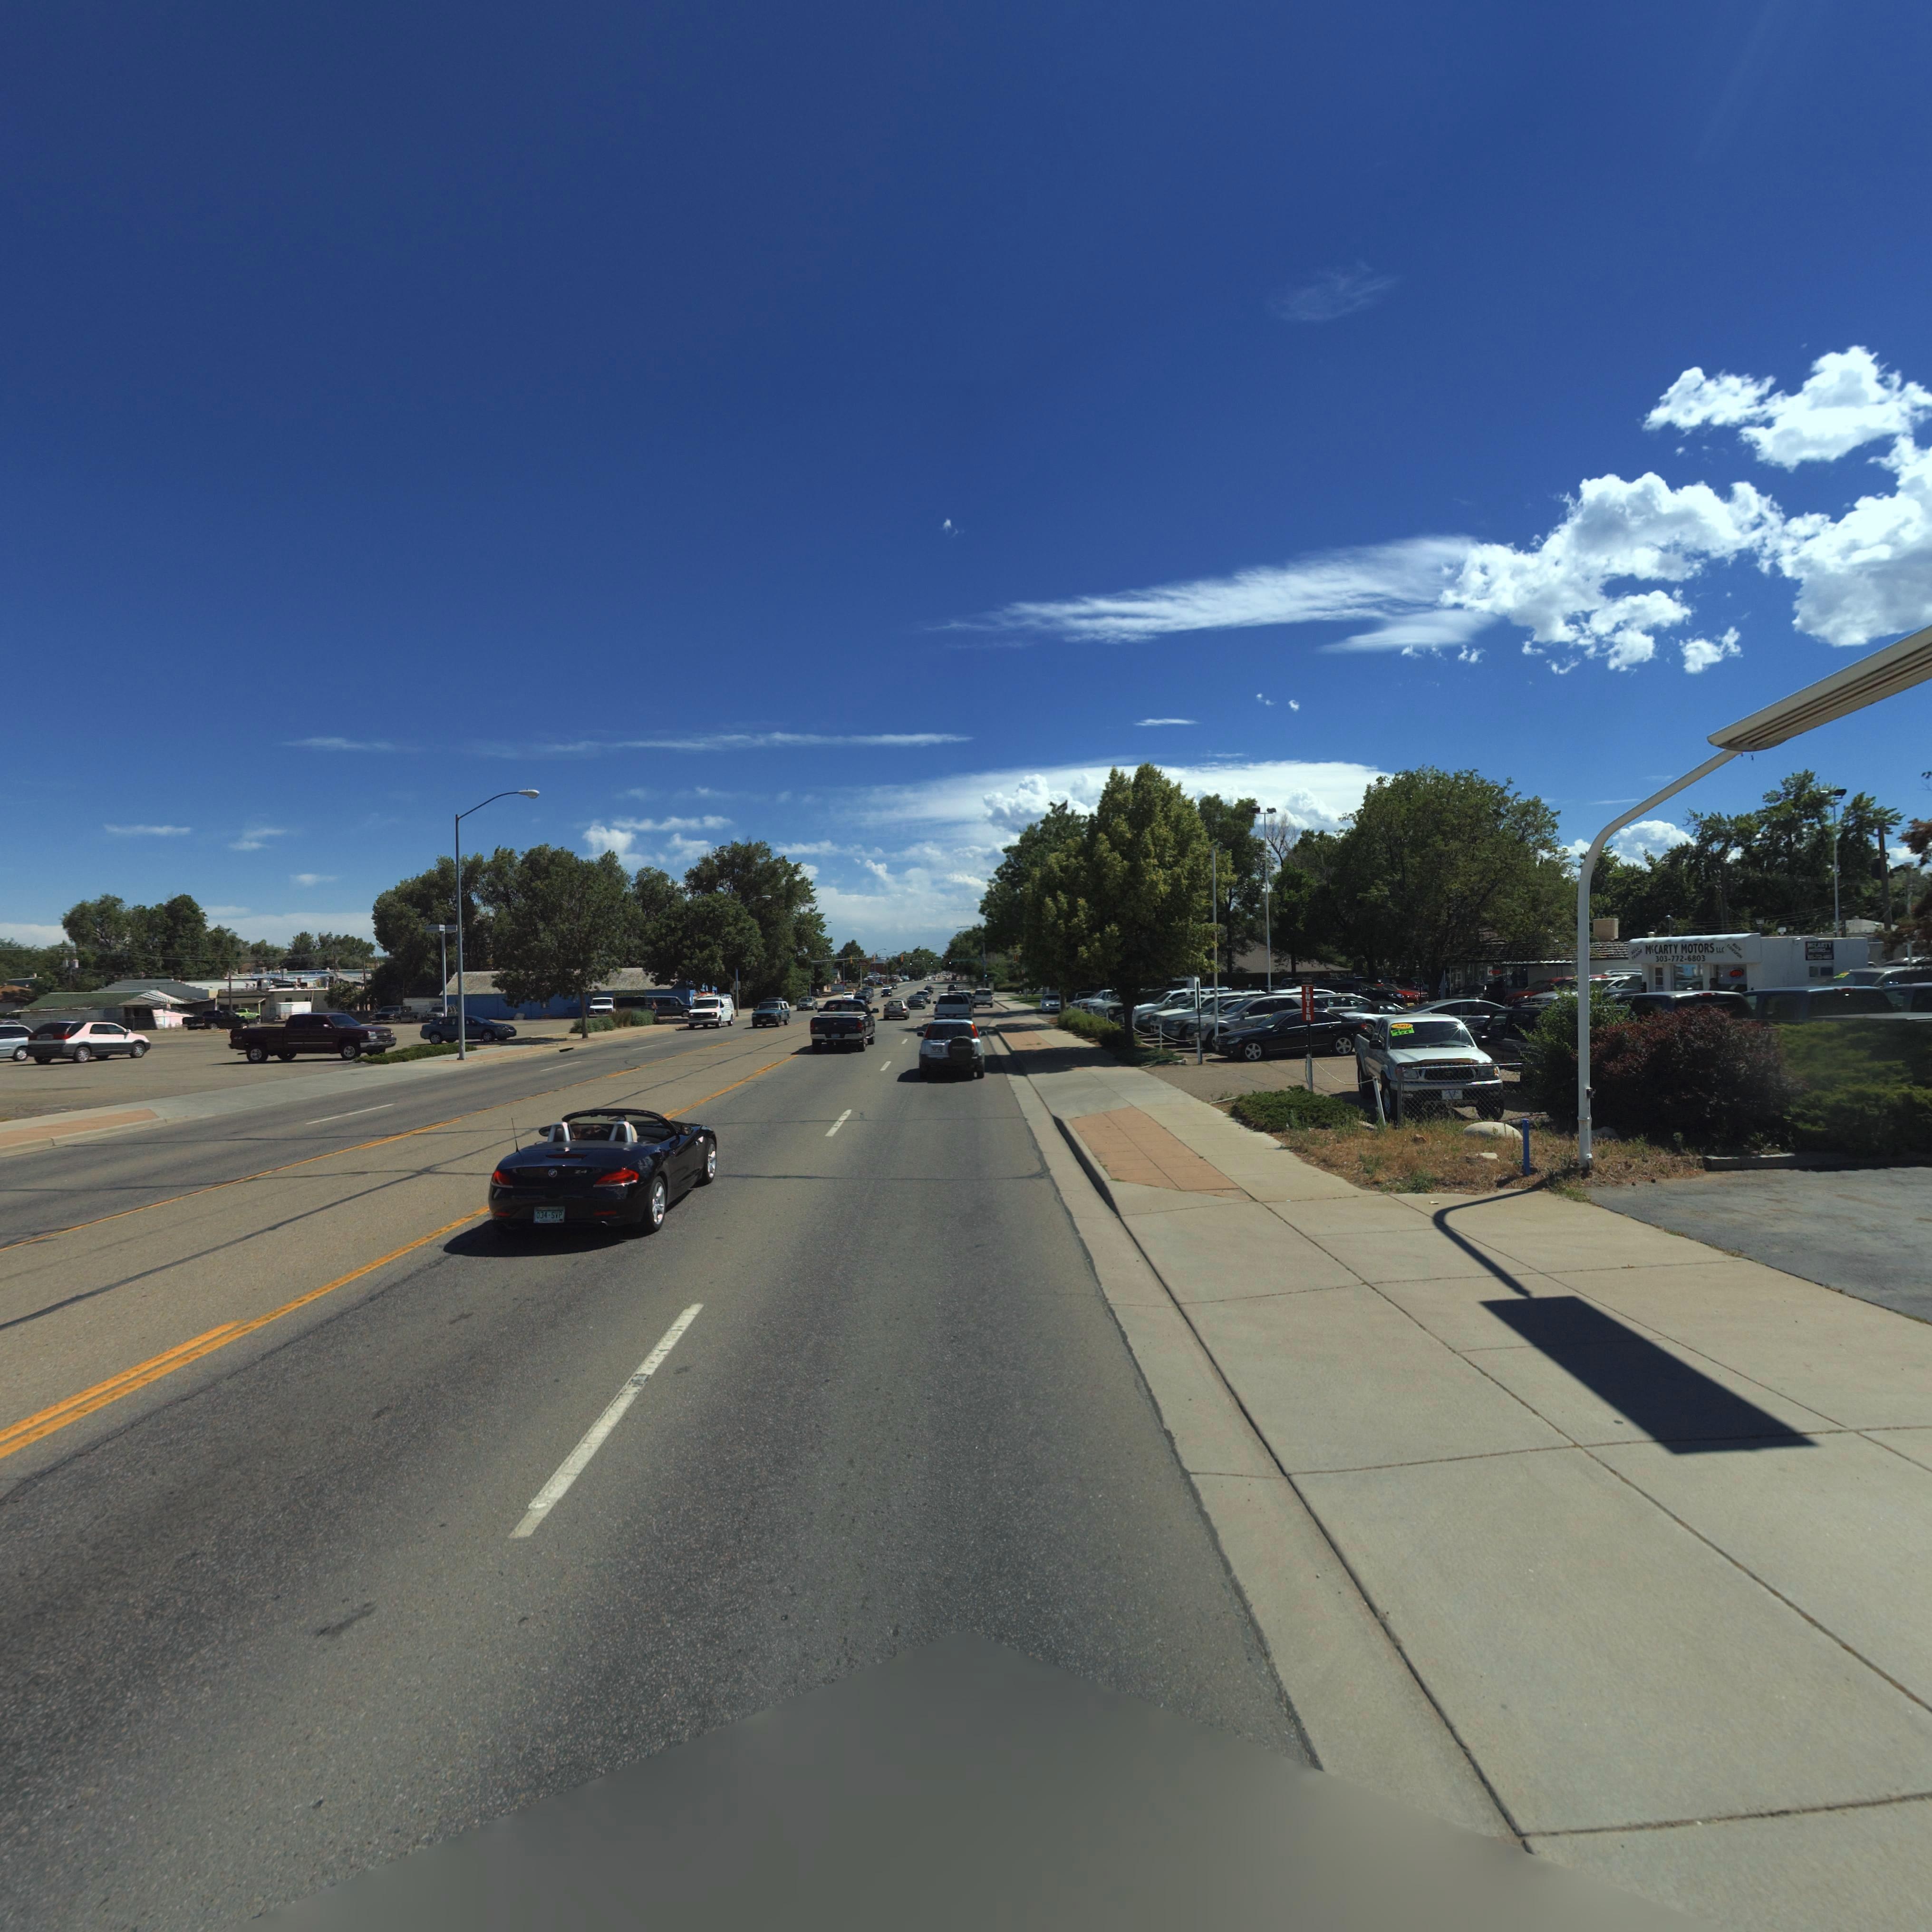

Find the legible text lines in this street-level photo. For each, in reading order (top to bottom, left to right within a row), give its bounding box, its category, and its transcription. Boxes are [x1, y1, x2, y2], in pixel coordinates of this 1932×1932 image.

[1807, 942, 1831, 948] BusinessName: McCARTY
[1645, 942, 1715, 954] BusinessName: Mc*CARTY MOTORS
[1716, 947, 1724, 952] BusinessName: LLC